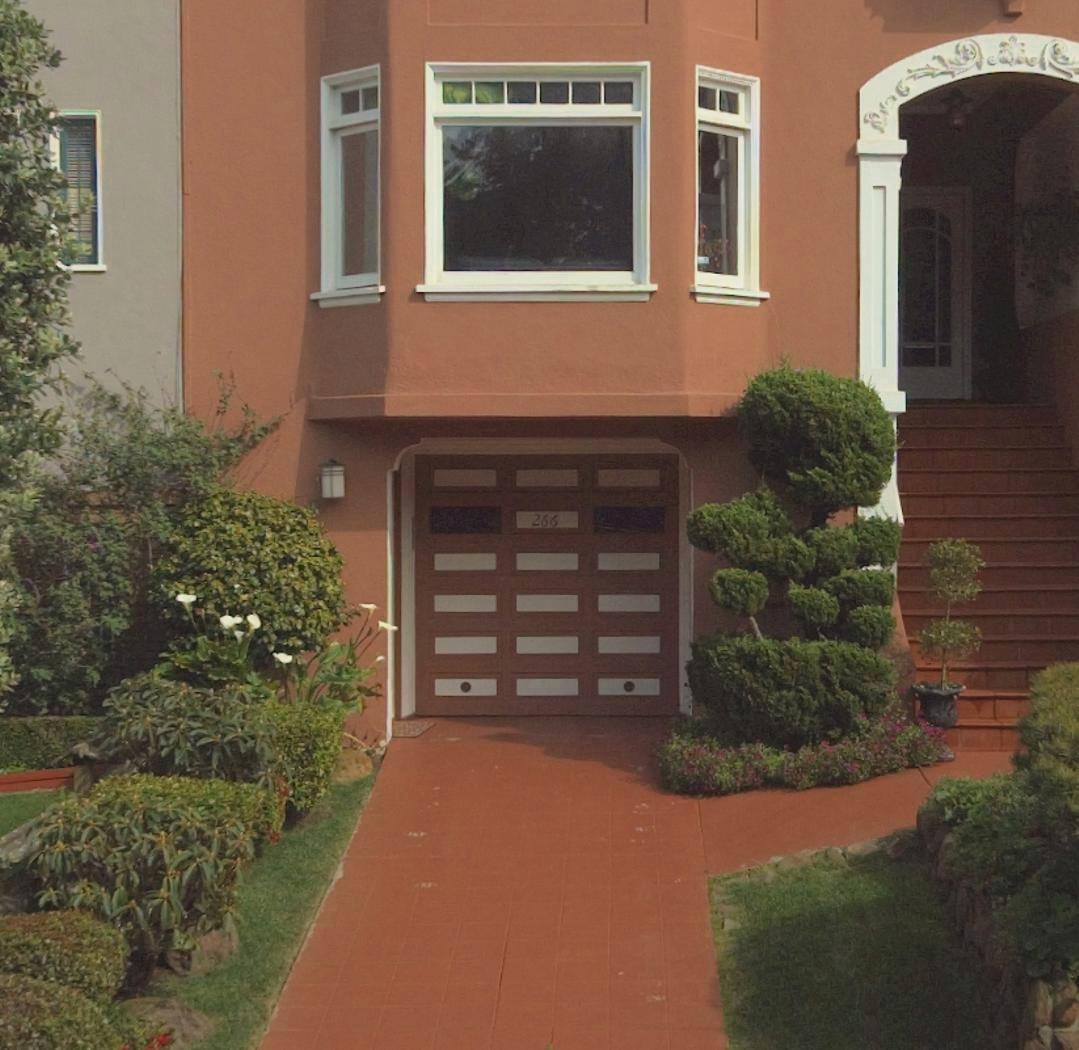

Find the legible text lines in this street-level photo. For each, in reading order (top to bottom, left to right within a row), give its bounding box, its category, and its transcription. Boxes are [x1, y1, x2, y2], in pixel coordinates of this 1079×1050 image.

[531, 512, 559, 528] StreetNumber: 266